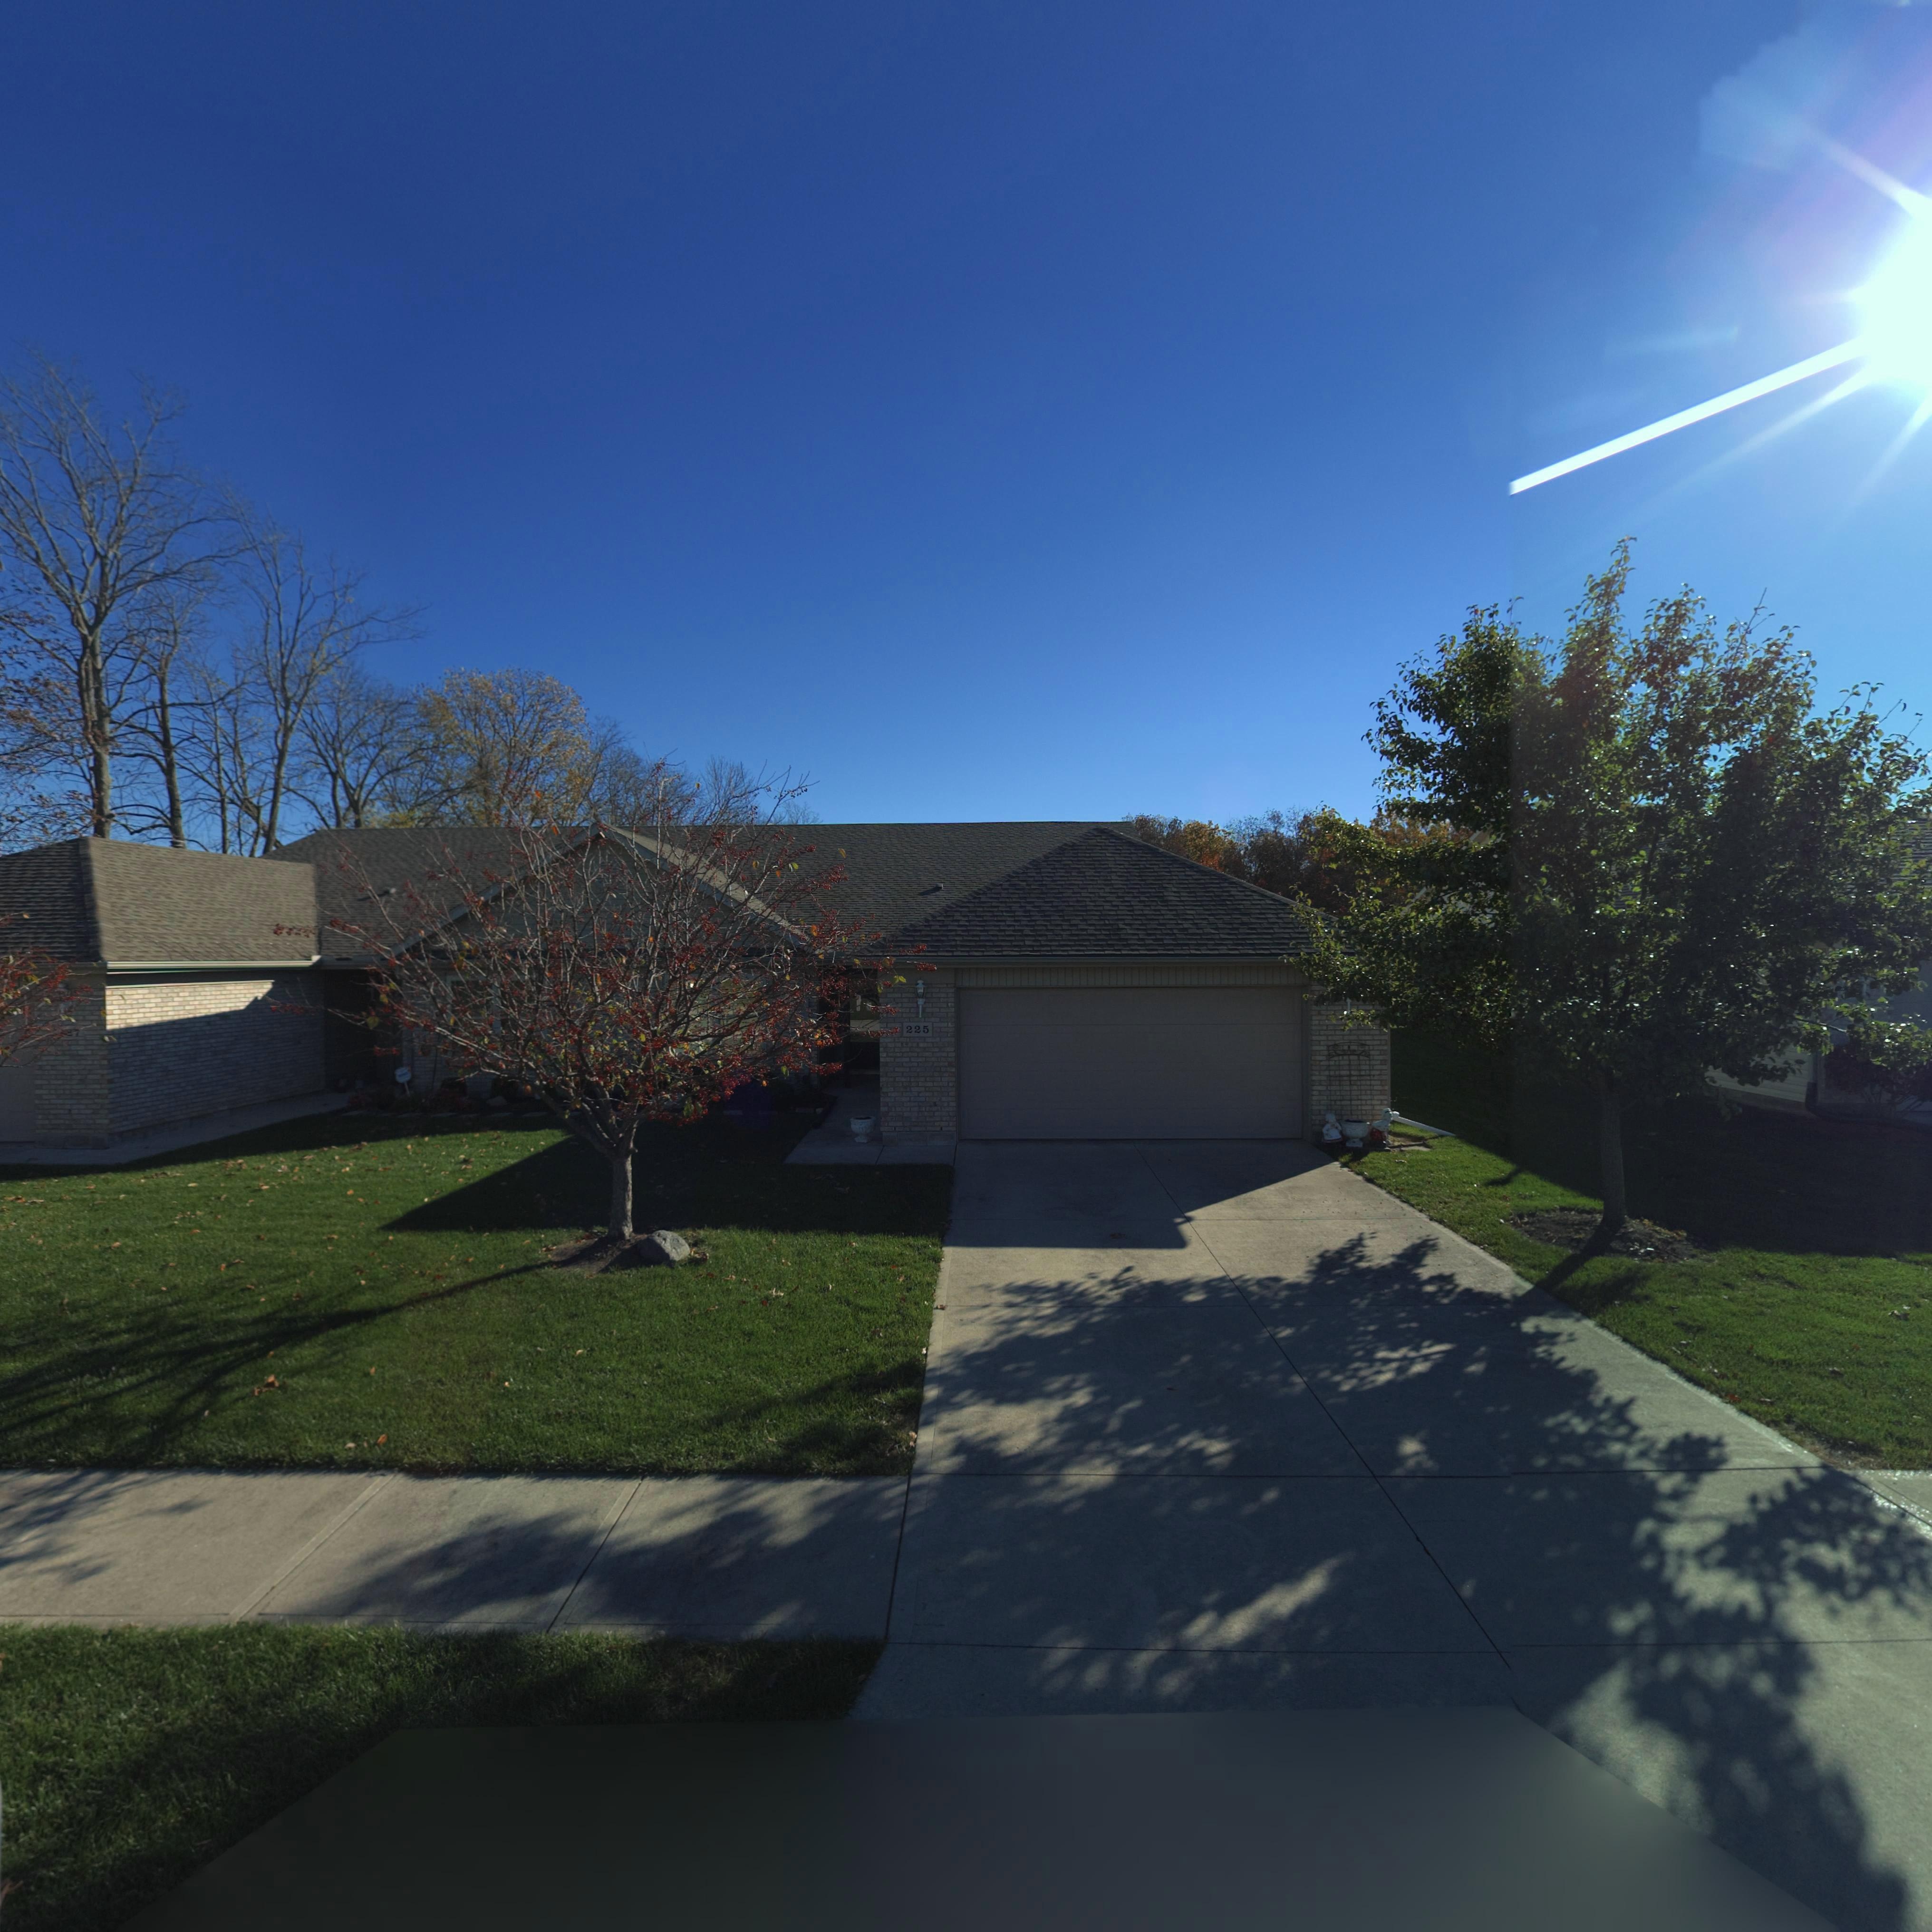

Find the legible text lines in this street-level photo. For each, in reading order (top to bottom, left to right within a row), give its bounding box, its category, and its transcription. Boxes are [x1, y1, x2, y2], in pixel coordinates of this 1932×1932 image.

[905, 1024, 930, 1034] StreetNumber: 225